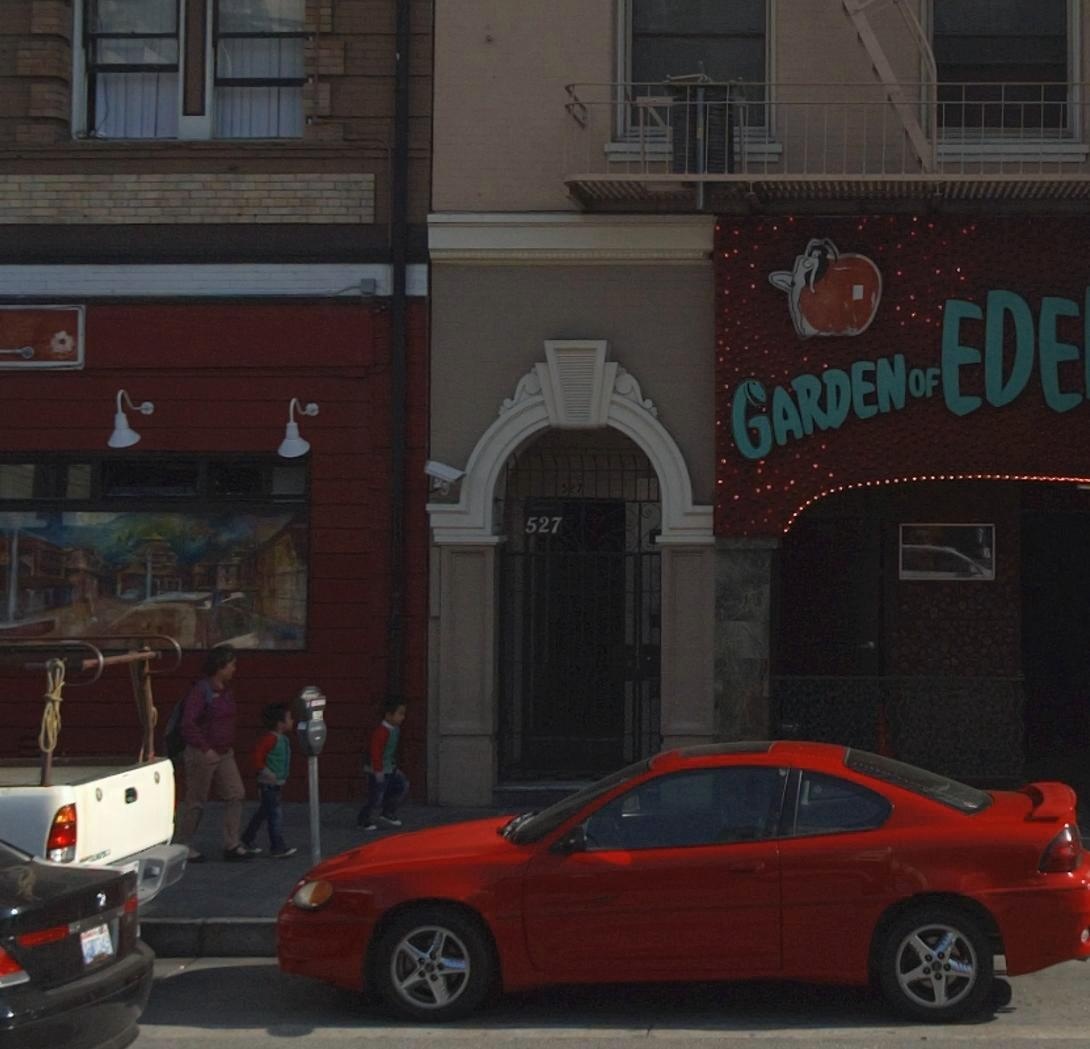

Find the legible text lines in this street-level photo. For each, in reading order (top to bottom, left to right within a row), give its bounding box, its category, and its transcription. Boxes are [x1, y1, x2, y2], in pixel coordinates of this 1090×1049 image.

[729, 287, 1085, 465] BusinessName: GARDENOFEDE
[523, 512, 564, 535] StreetNumber: 527